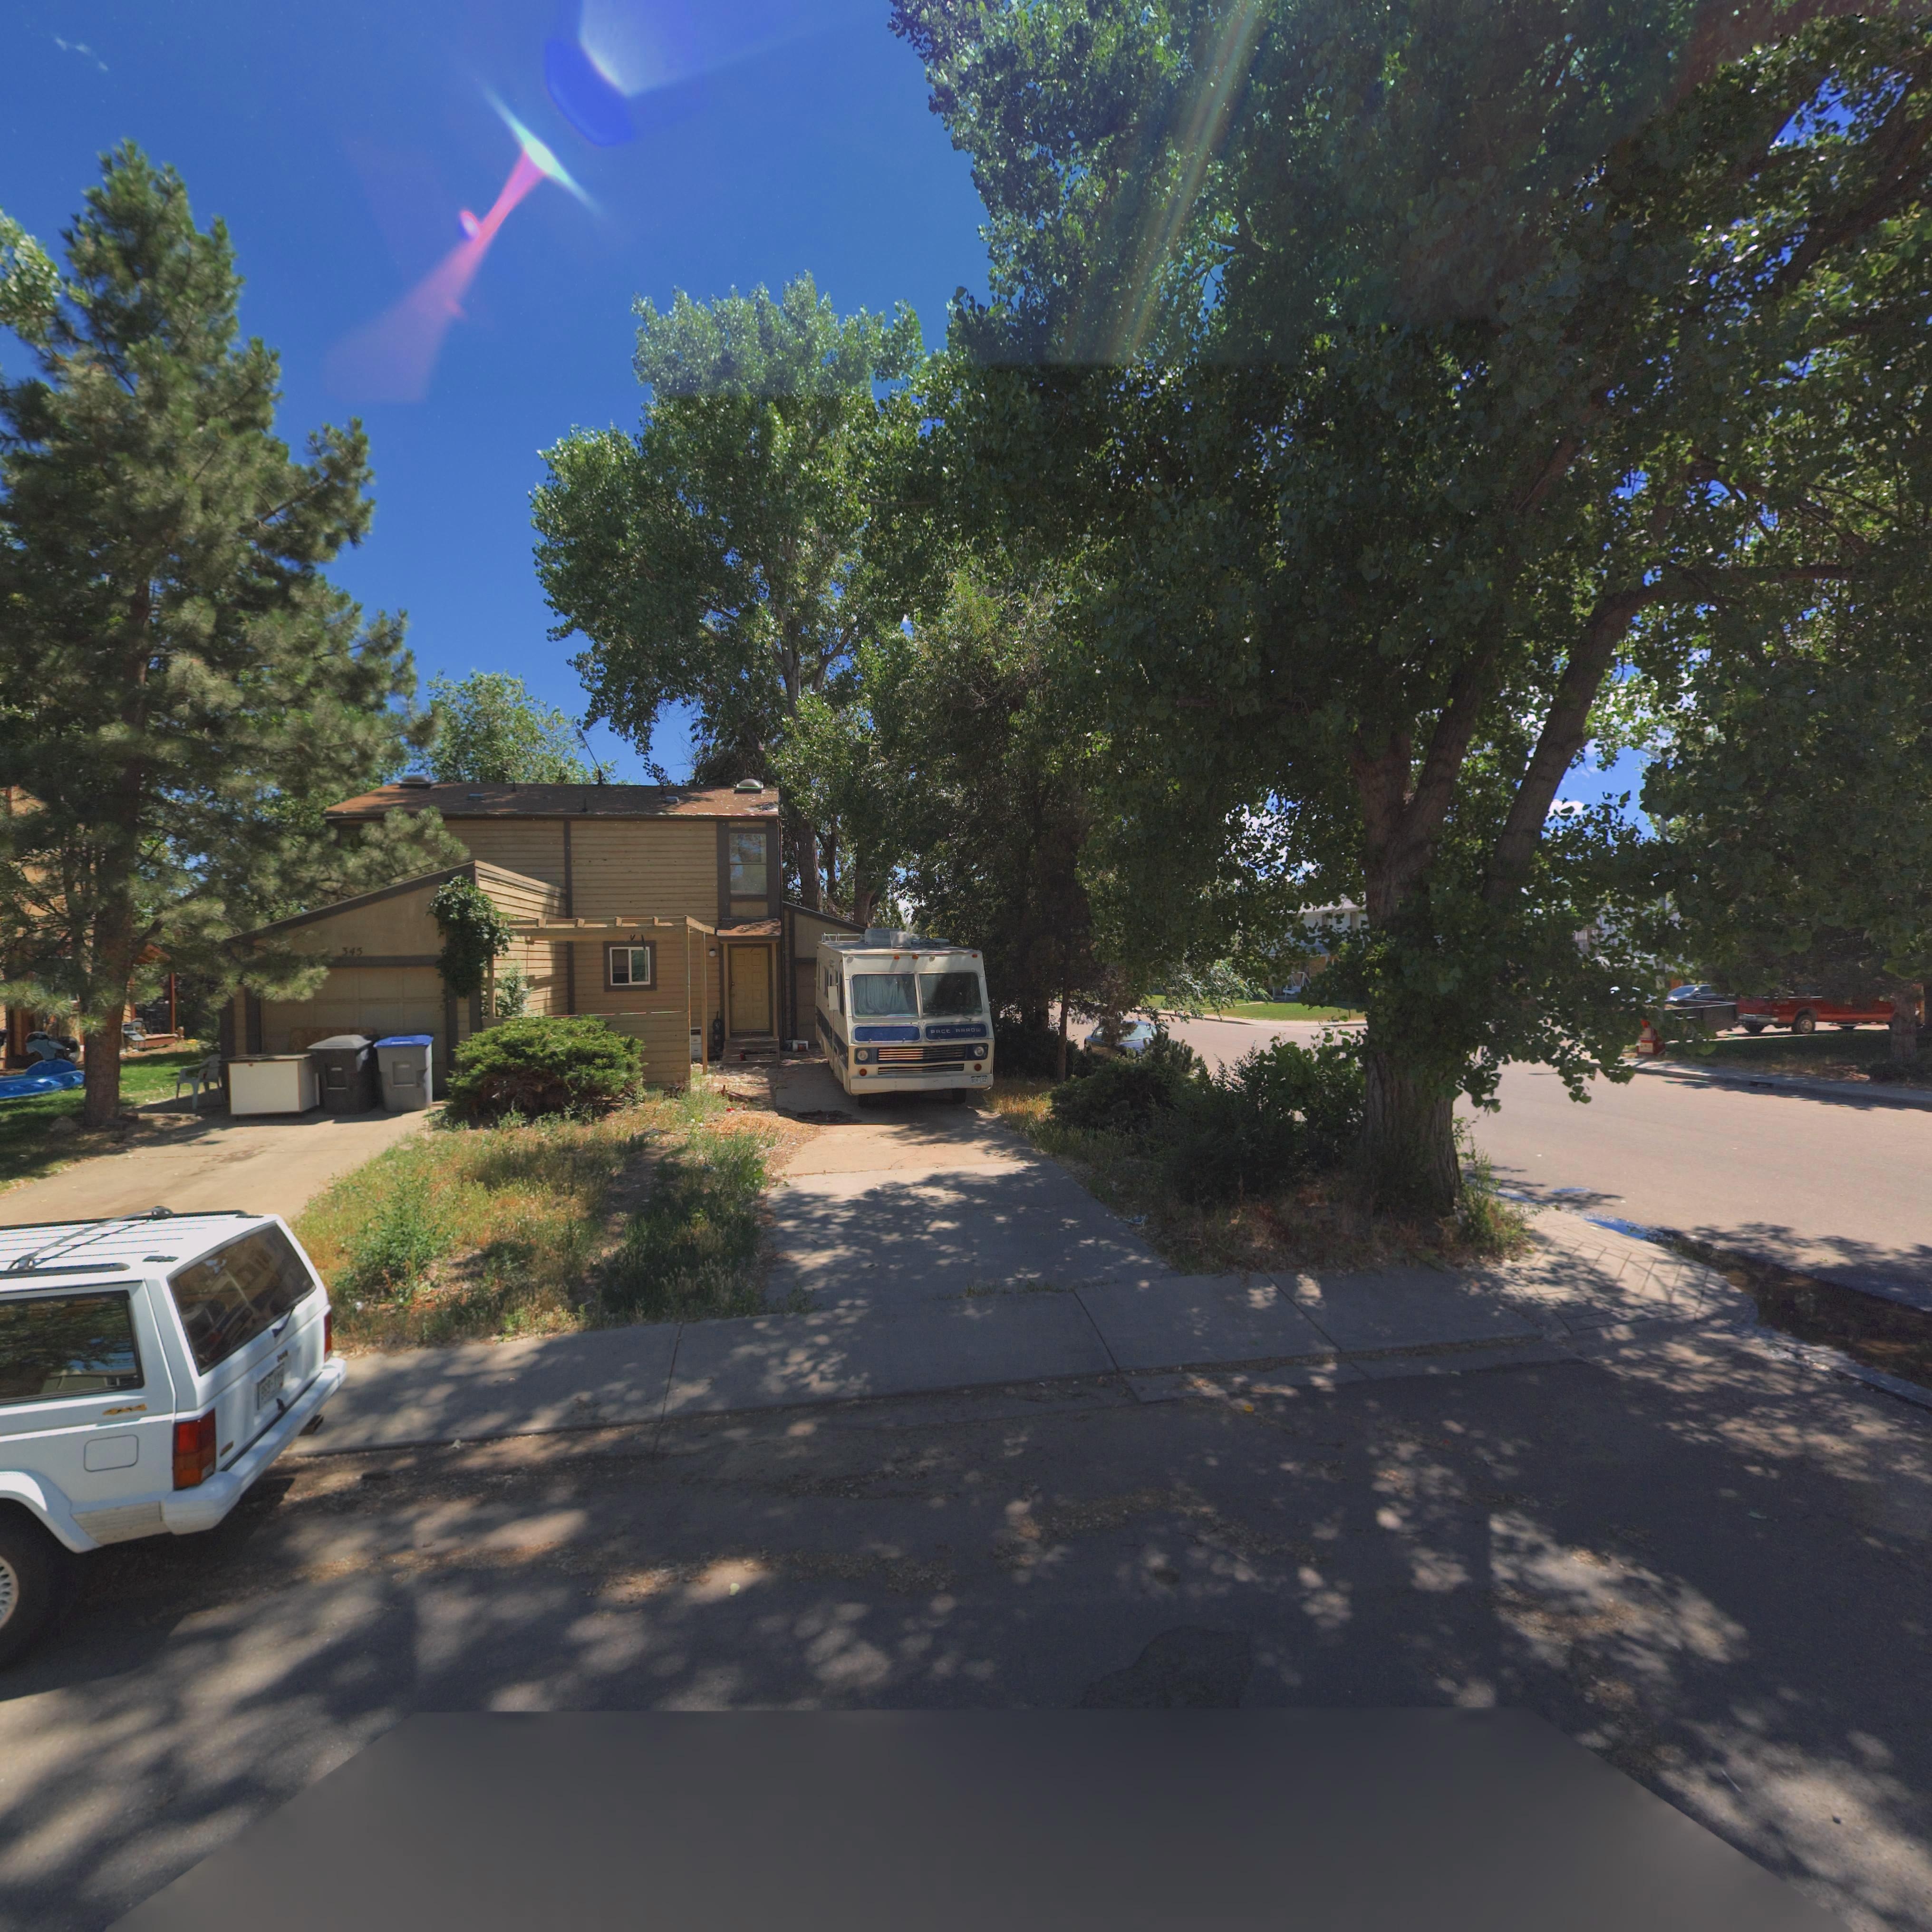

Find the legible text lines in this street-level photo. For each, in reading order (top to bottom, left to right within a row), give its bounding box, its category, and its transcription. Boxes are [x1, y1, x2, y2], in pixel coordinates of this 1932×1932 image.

[340, 947, 363, 956] StreetNumber: 345